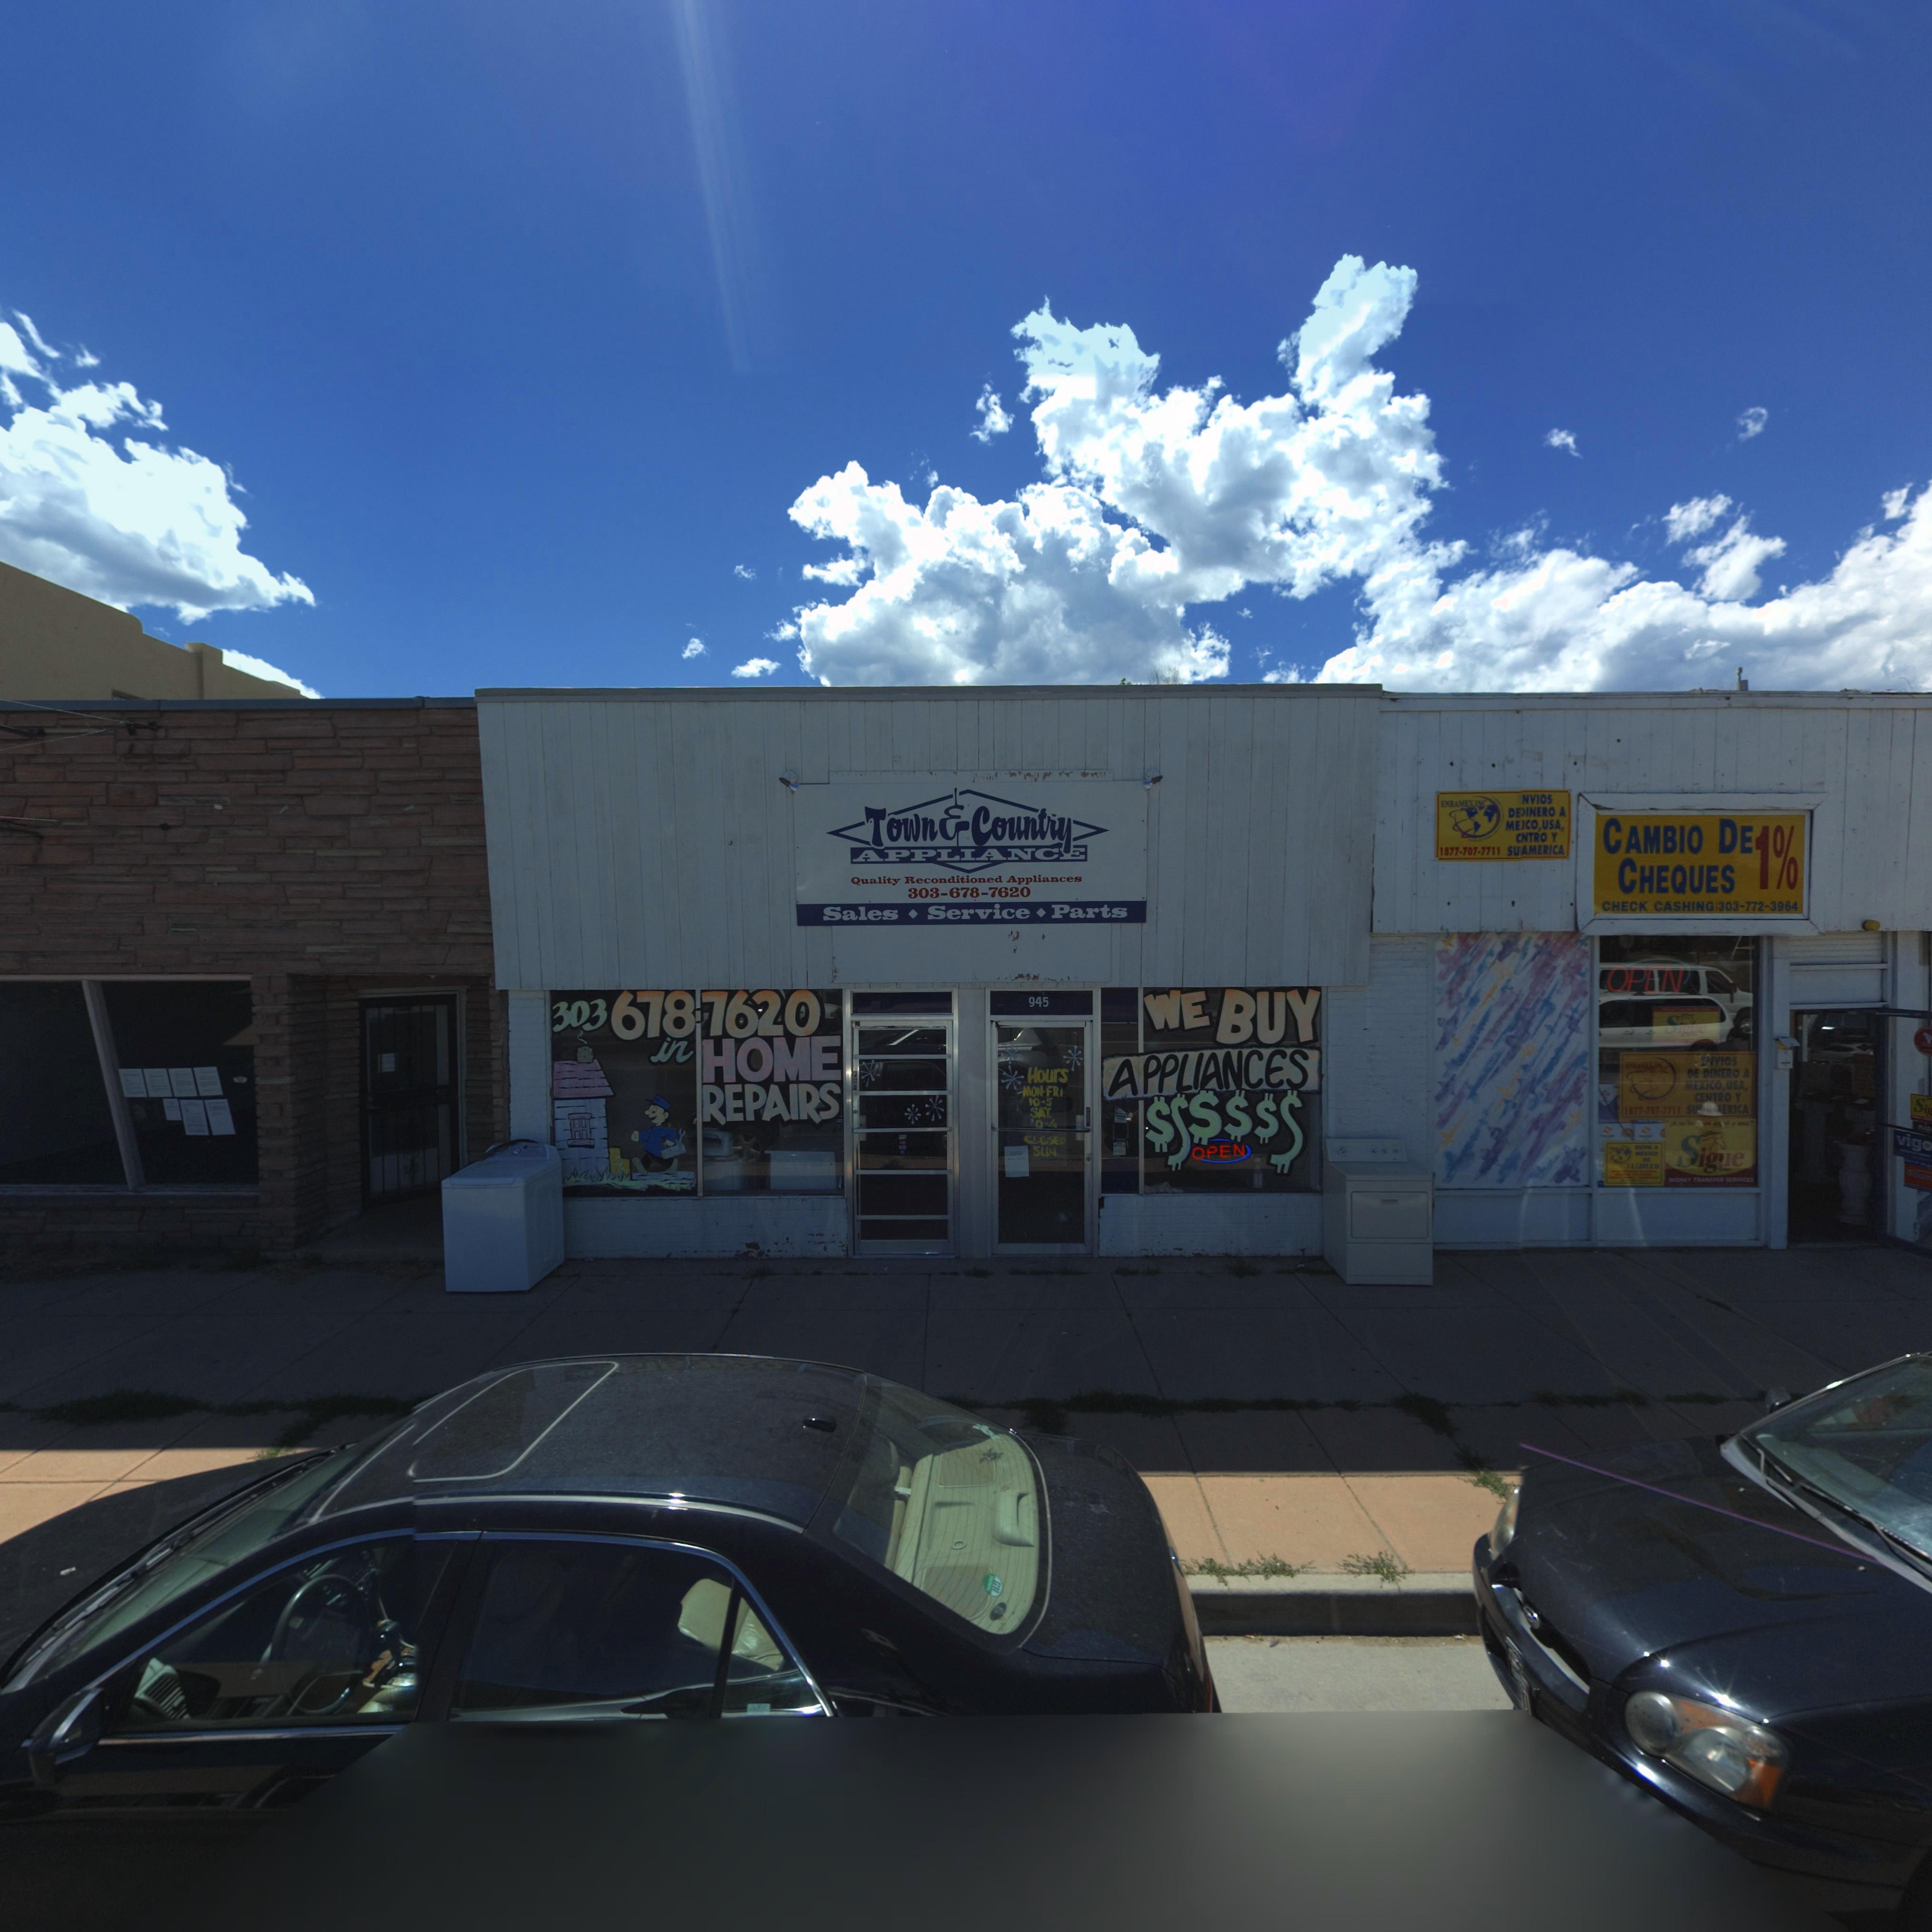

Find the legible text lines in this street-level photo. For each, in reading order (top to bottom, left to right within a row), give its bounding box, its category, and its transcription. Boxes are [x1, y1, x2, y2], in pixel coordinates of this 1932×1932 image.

[864, 786, 1072, 854] BusinessName: Town * Country
[851, 847, 1086, 862] BusinessName: APPLIANCE
[1028, 996, 1049, 1007] StreetNumber: 945